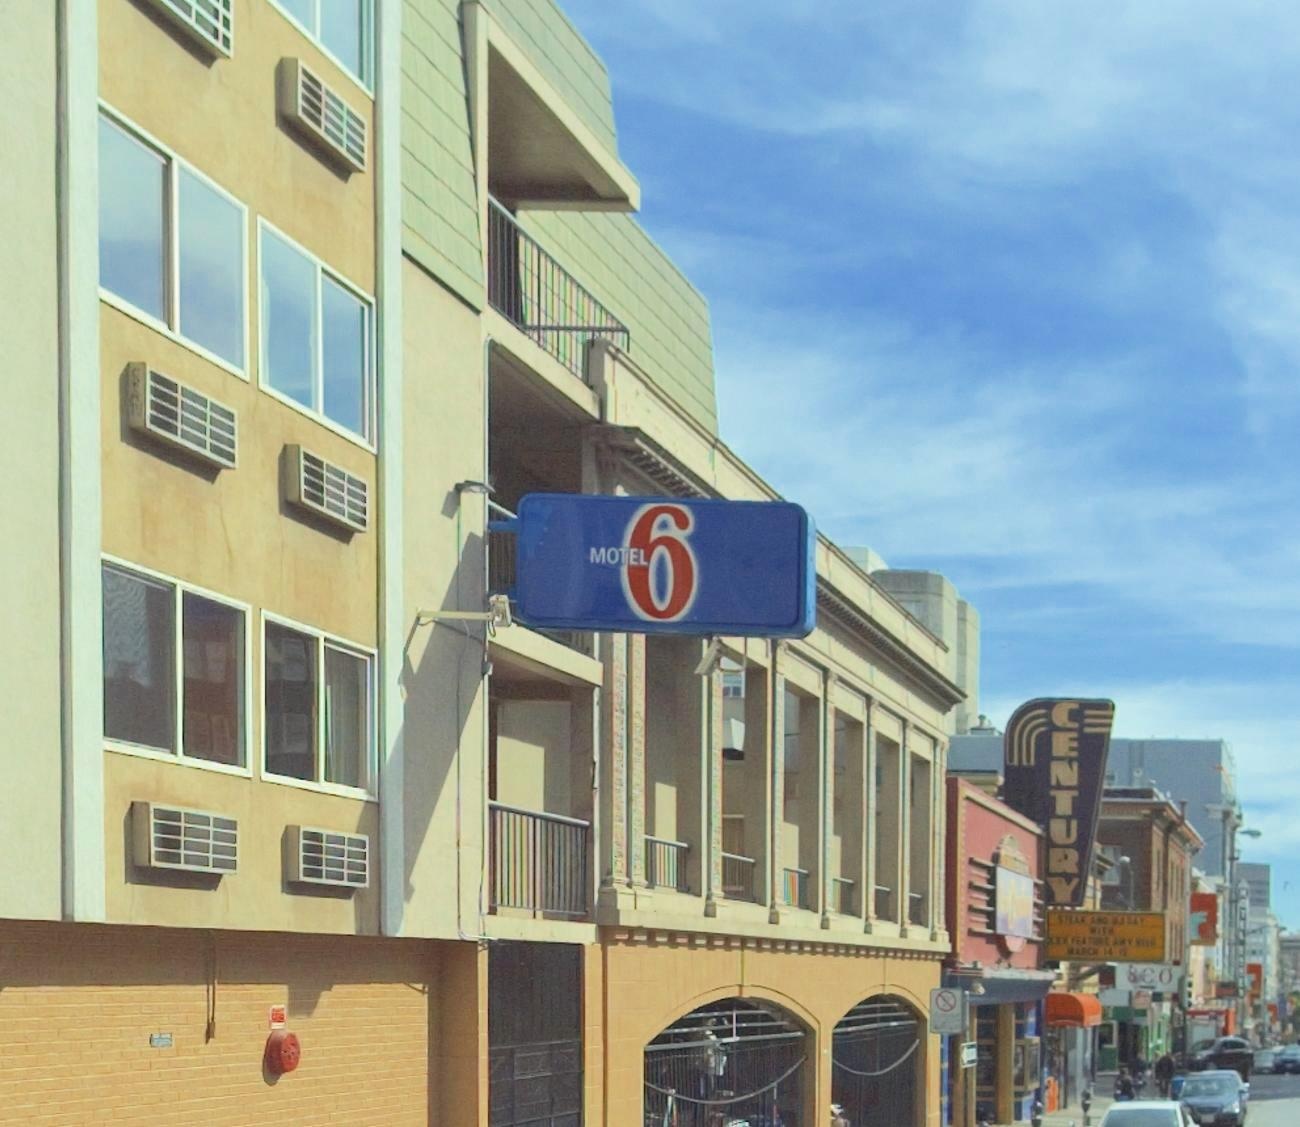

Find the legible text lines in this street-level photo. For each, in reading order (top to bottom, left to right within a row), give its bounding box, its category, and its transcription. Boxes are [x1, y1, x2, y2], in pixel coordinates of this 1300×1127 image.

[586, 544, 651, 568] BusinessName: MOTEL
[626, 503, 696, 621] BusinessName: 6
[1042, 697, 1084, 908] BusinessName: CENTURY
[1140, 965, 1175, 987] BusinessName: CO